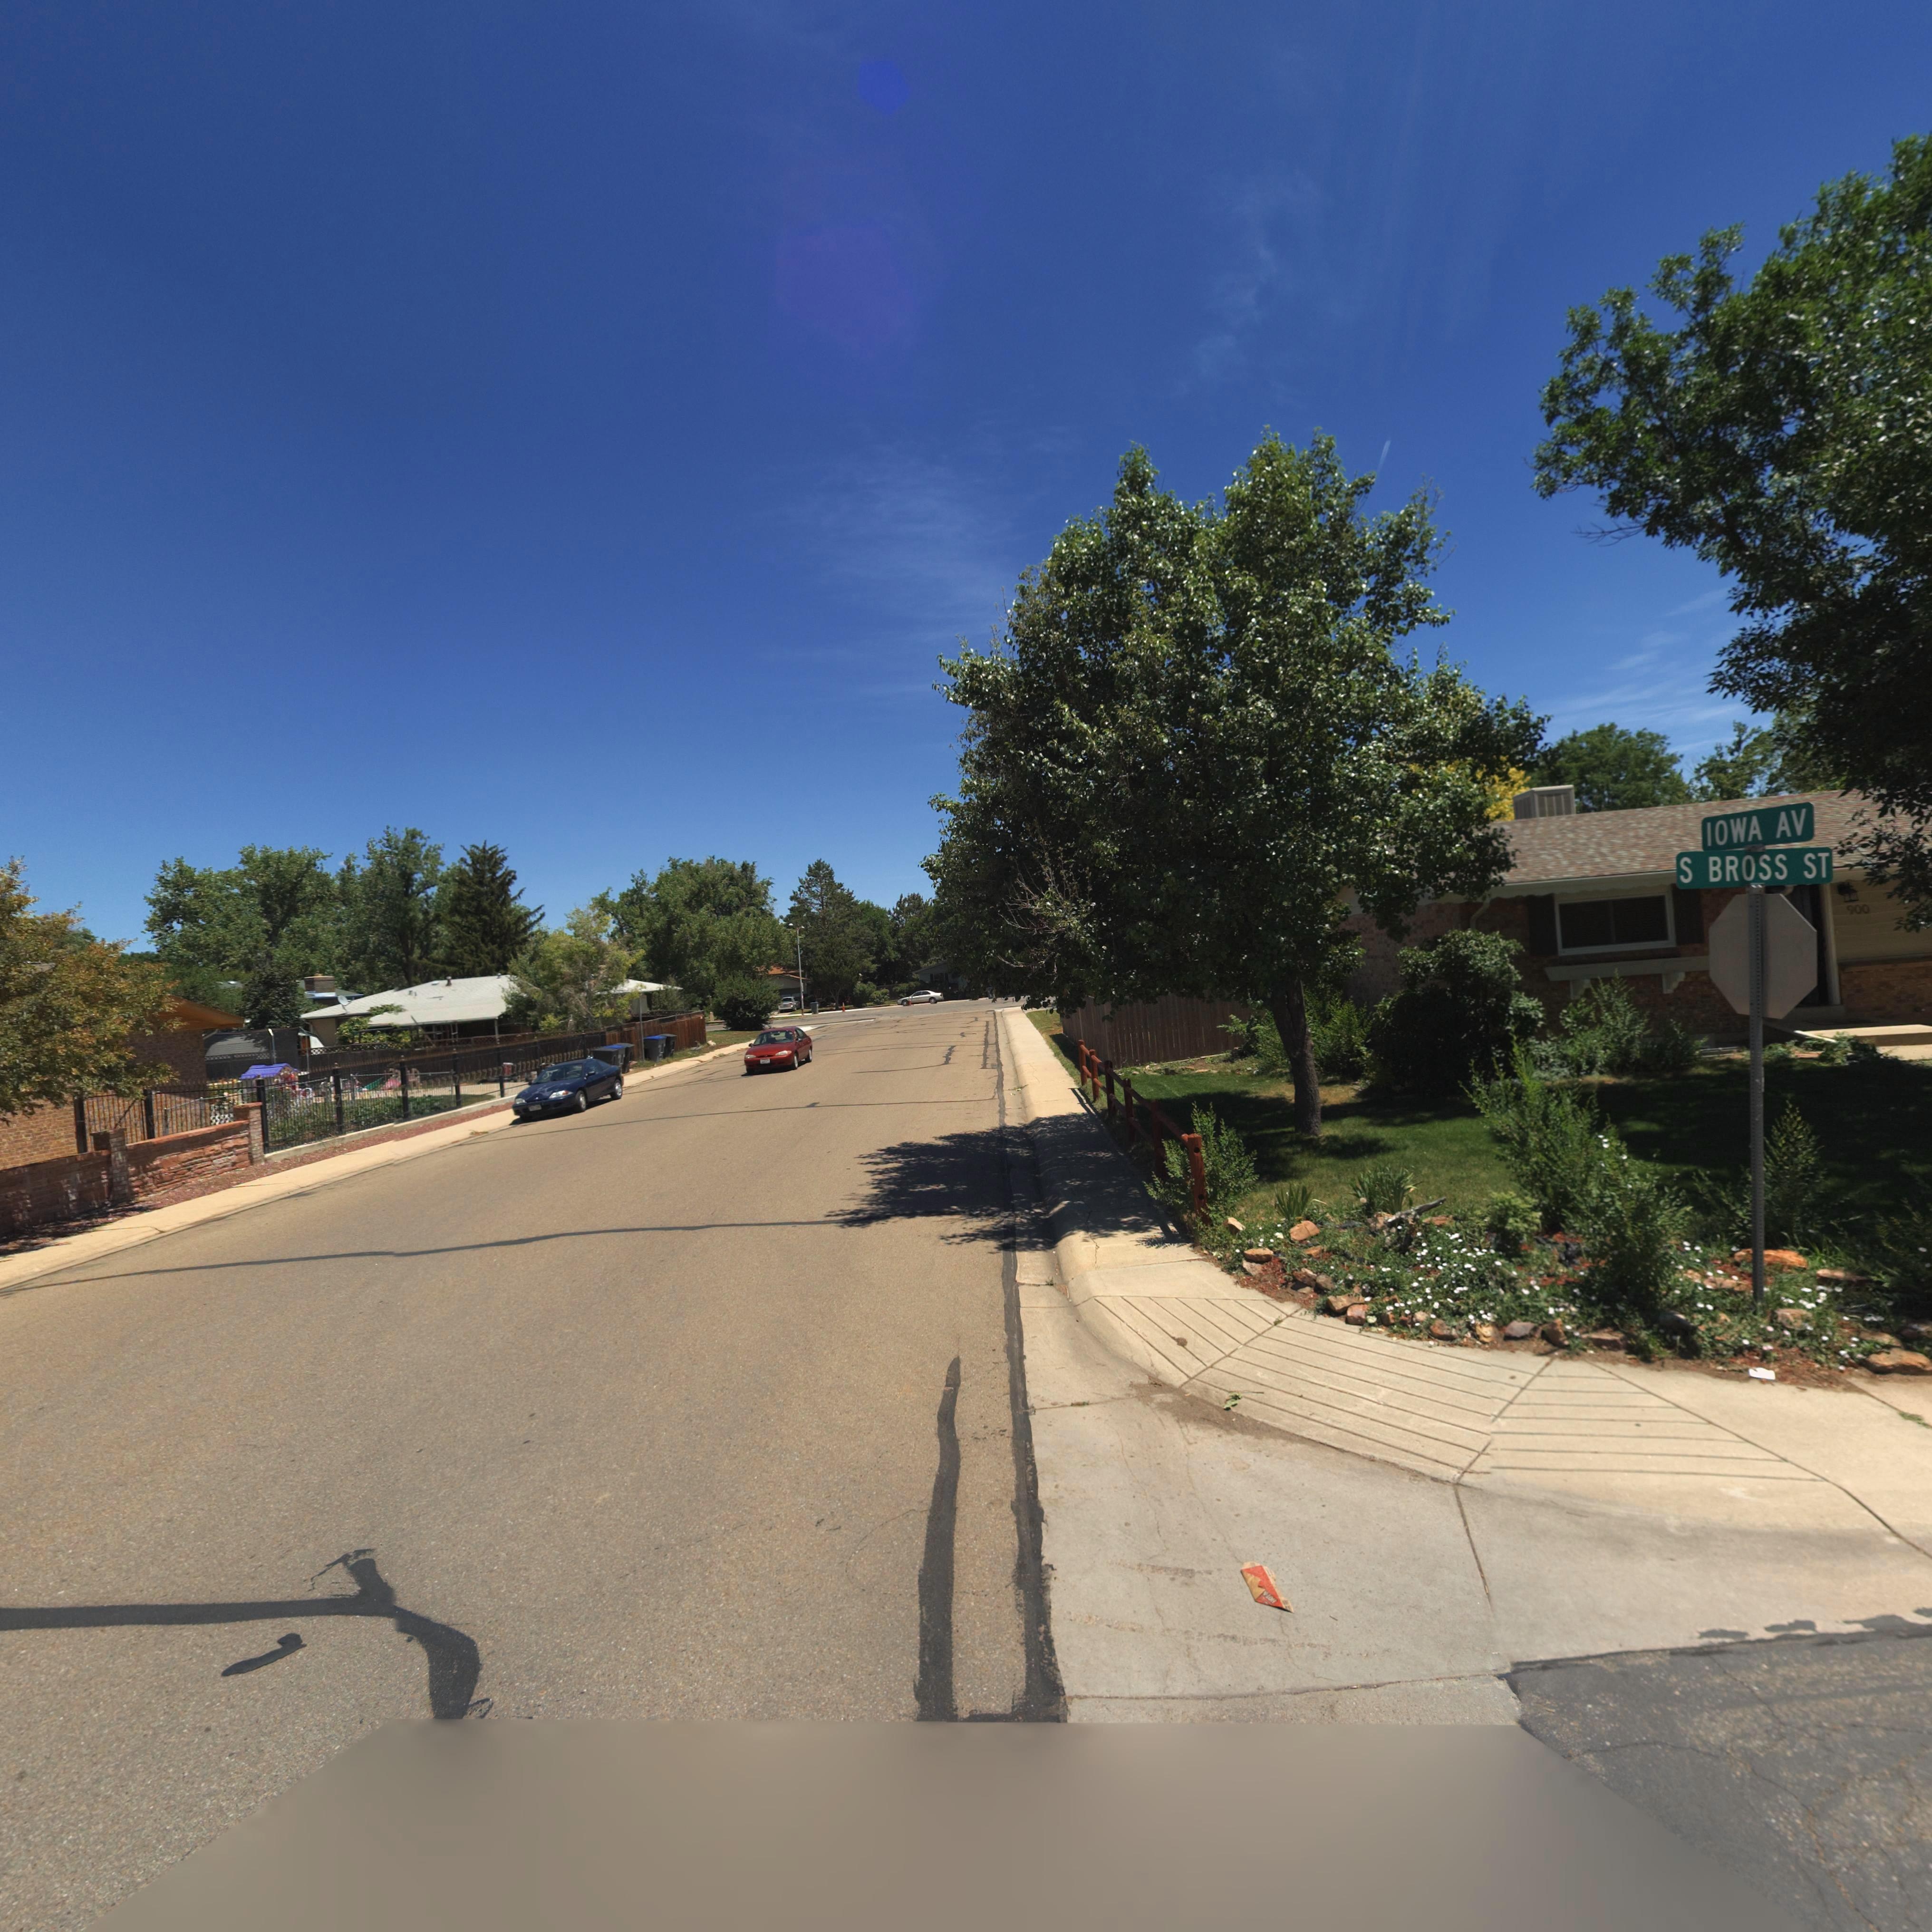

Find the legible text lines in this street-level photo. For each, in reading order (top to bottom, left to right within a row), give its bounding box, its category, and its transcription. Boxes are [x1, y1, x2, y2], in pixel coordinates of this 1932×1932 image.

[1706, 808, 1806, 847] StreetName: IOWA ST
[1677, 851, 1830, 884] StreetName: S BROSS ST
[1845, 904, 1869, 915] StreetNumber: 900